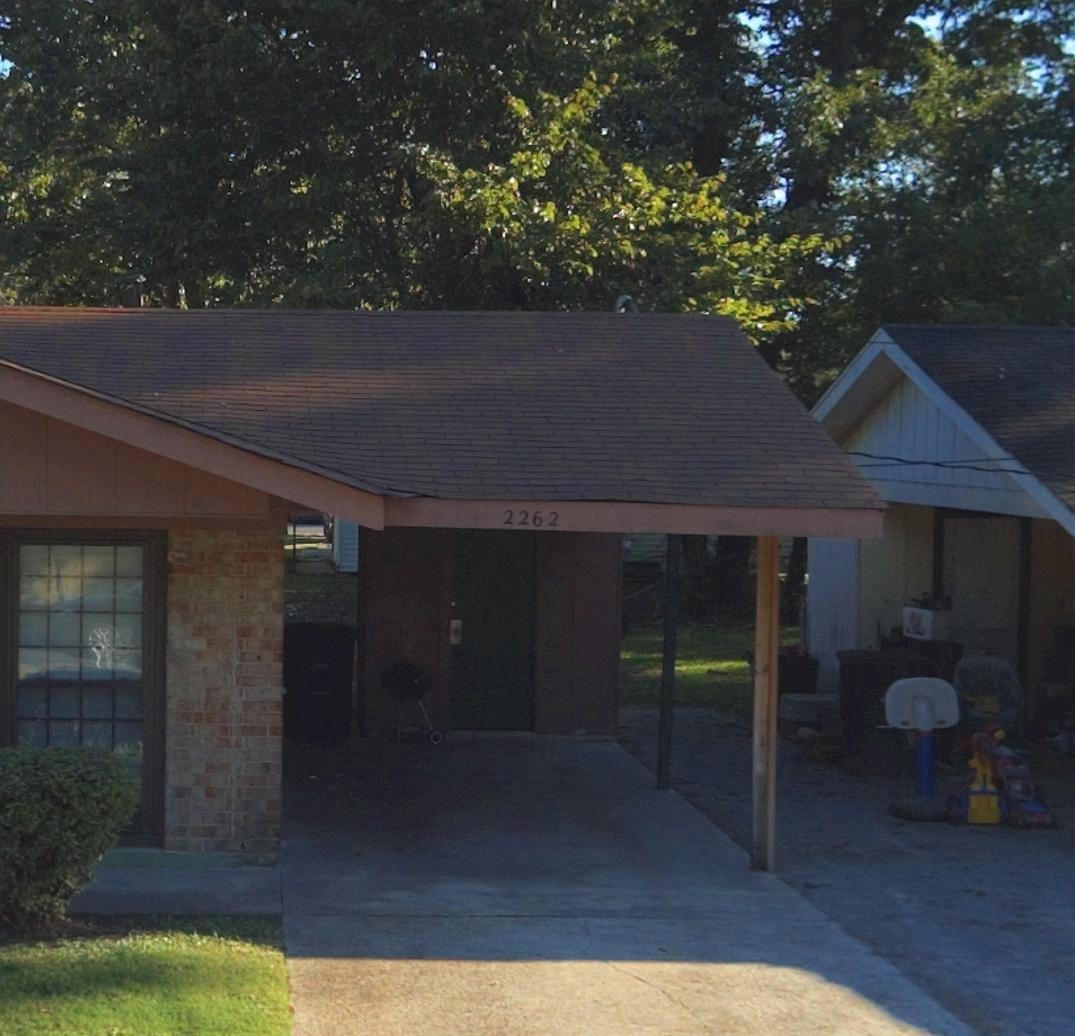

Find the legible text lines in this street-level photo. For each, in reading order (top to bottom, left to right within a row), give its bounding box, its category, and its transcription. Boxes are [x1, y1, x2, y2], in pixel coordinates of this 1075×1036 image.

[503, 509, 560, 527] StreetNumber: 2262